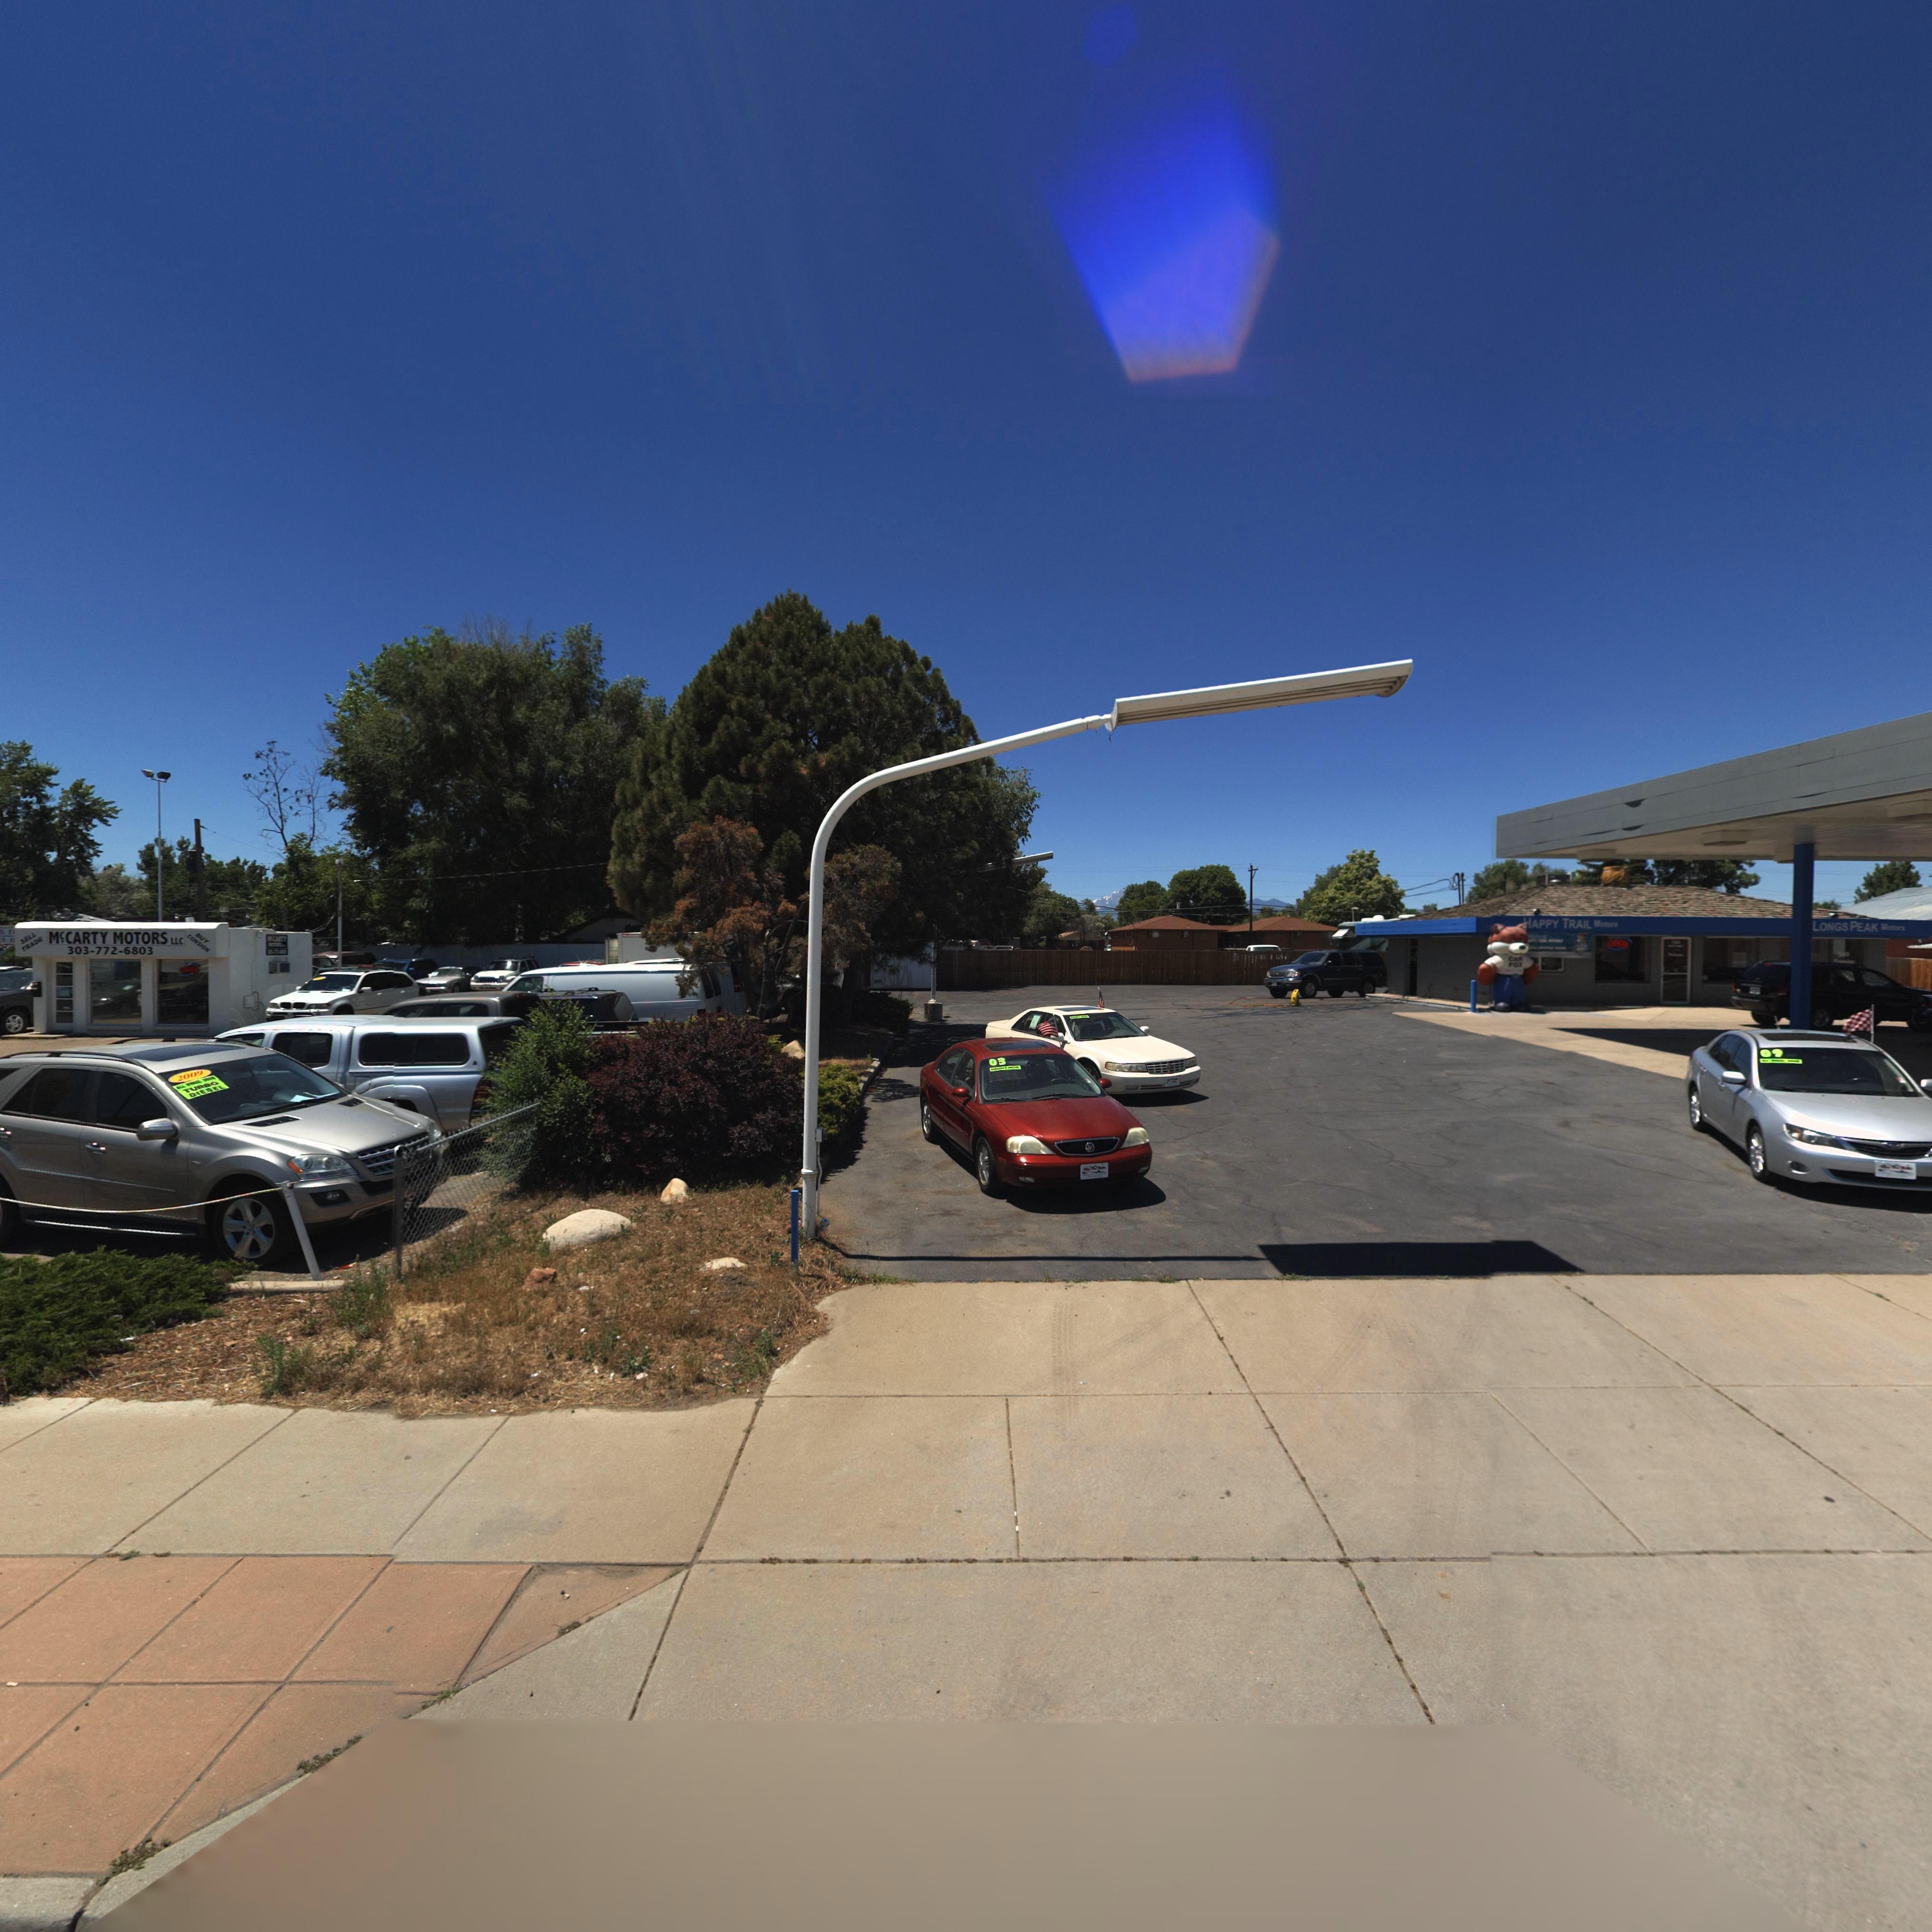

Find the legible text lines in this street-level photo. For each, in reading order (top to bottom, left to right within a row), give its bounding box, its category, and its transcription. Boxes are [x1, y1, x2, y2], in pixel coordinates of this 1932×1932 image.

[1522, 917, 1593, 929] BusinessName: HAPPY TRAIL
[1593, 918, 1618, 927] BusinessName: MOTORS
[1812, 919, 1880, 933] BusinessName: LONGS PEAK
[1880, 922, 1906, 931] BusinessName: MOTORS
[48, 931, 168, 944] BusinessName: McCARY MOTORS
[267, 936, 287, 942] BusinessName: McCARTY